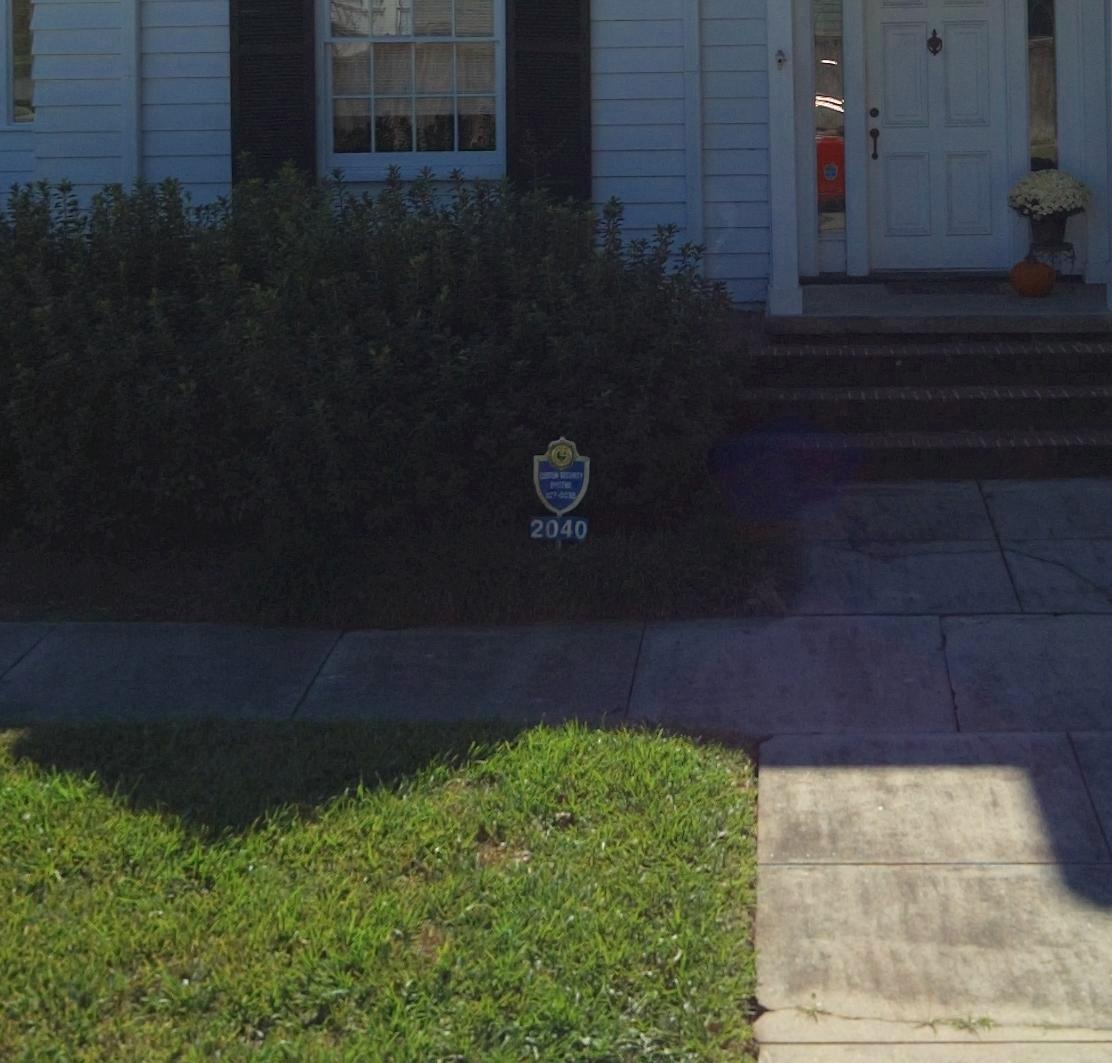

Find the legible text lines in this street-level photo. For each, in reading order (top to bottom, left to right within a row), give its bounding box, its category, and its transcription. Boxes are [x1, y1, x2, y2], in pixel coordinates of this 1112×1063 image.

[529, 517, 589, 541] StreetNumber: 2040